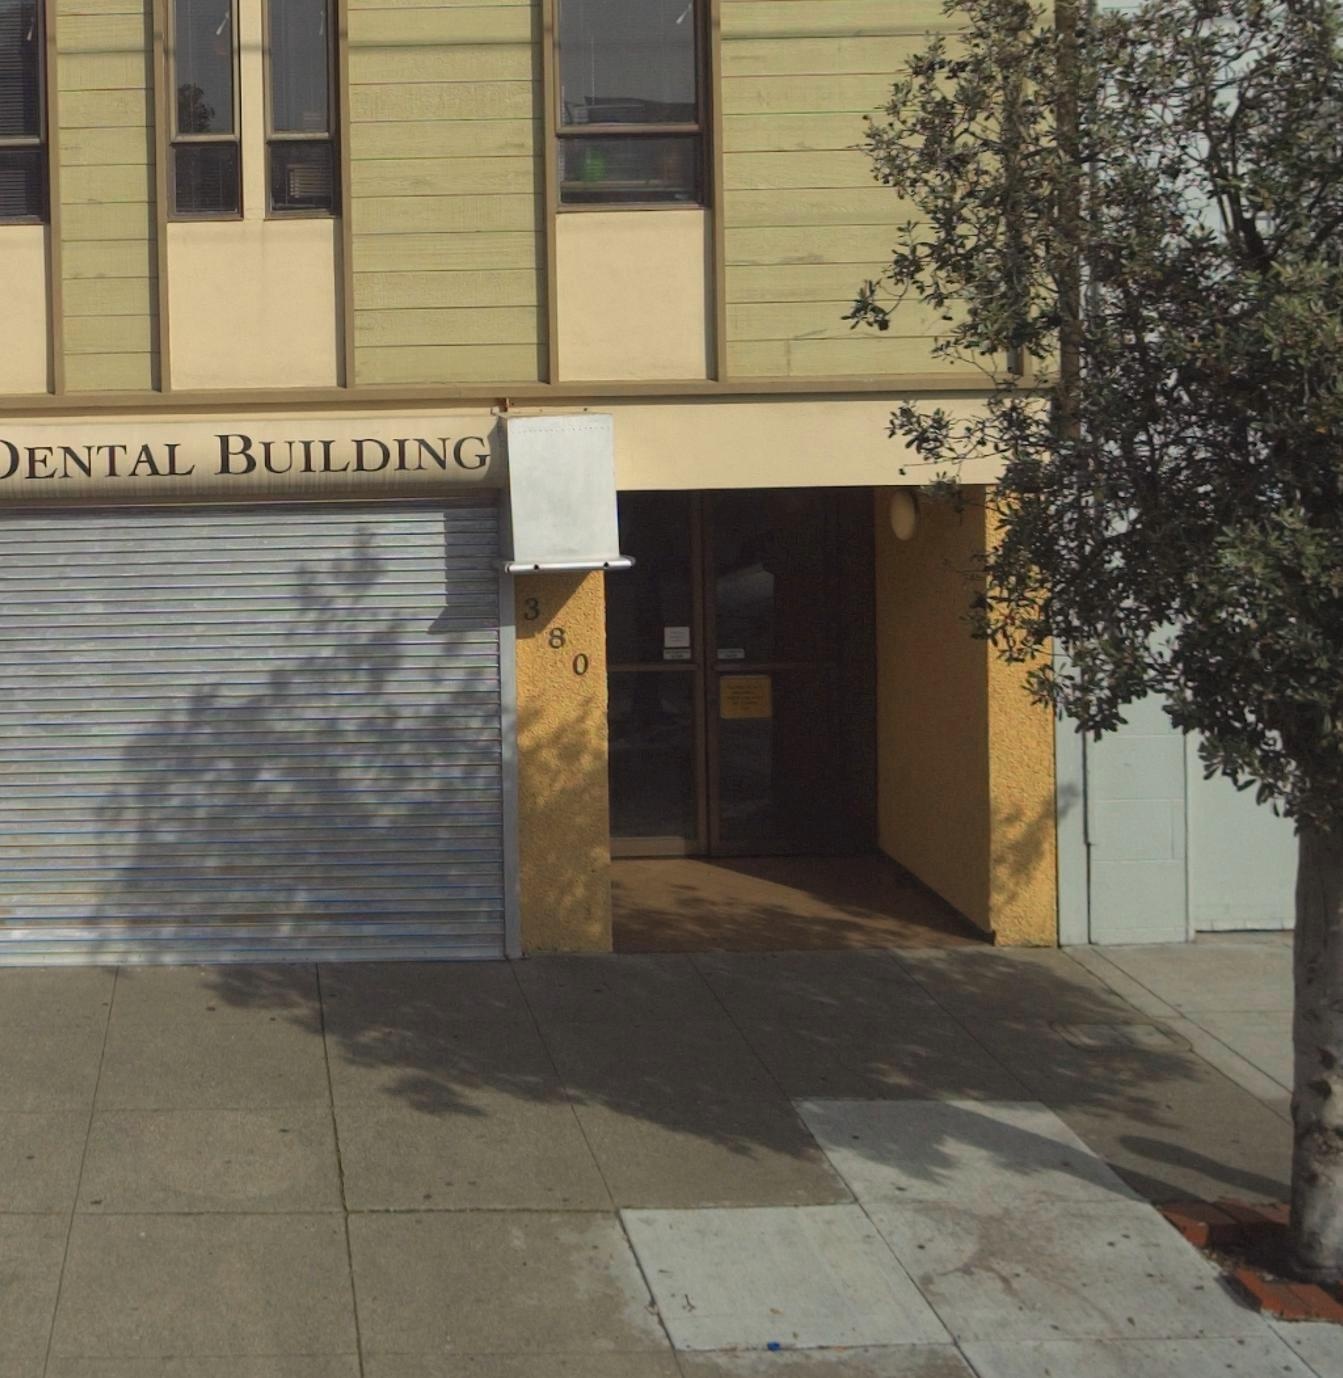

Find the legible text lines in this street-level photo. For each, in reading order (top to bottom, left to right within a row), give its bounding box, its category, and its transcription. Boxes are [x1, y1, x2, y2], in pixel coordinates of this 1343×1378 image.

[21, 432, 494, 482] None: ENTAL BUILDING
[523, 595, 593, 678] StreetNumber: 380